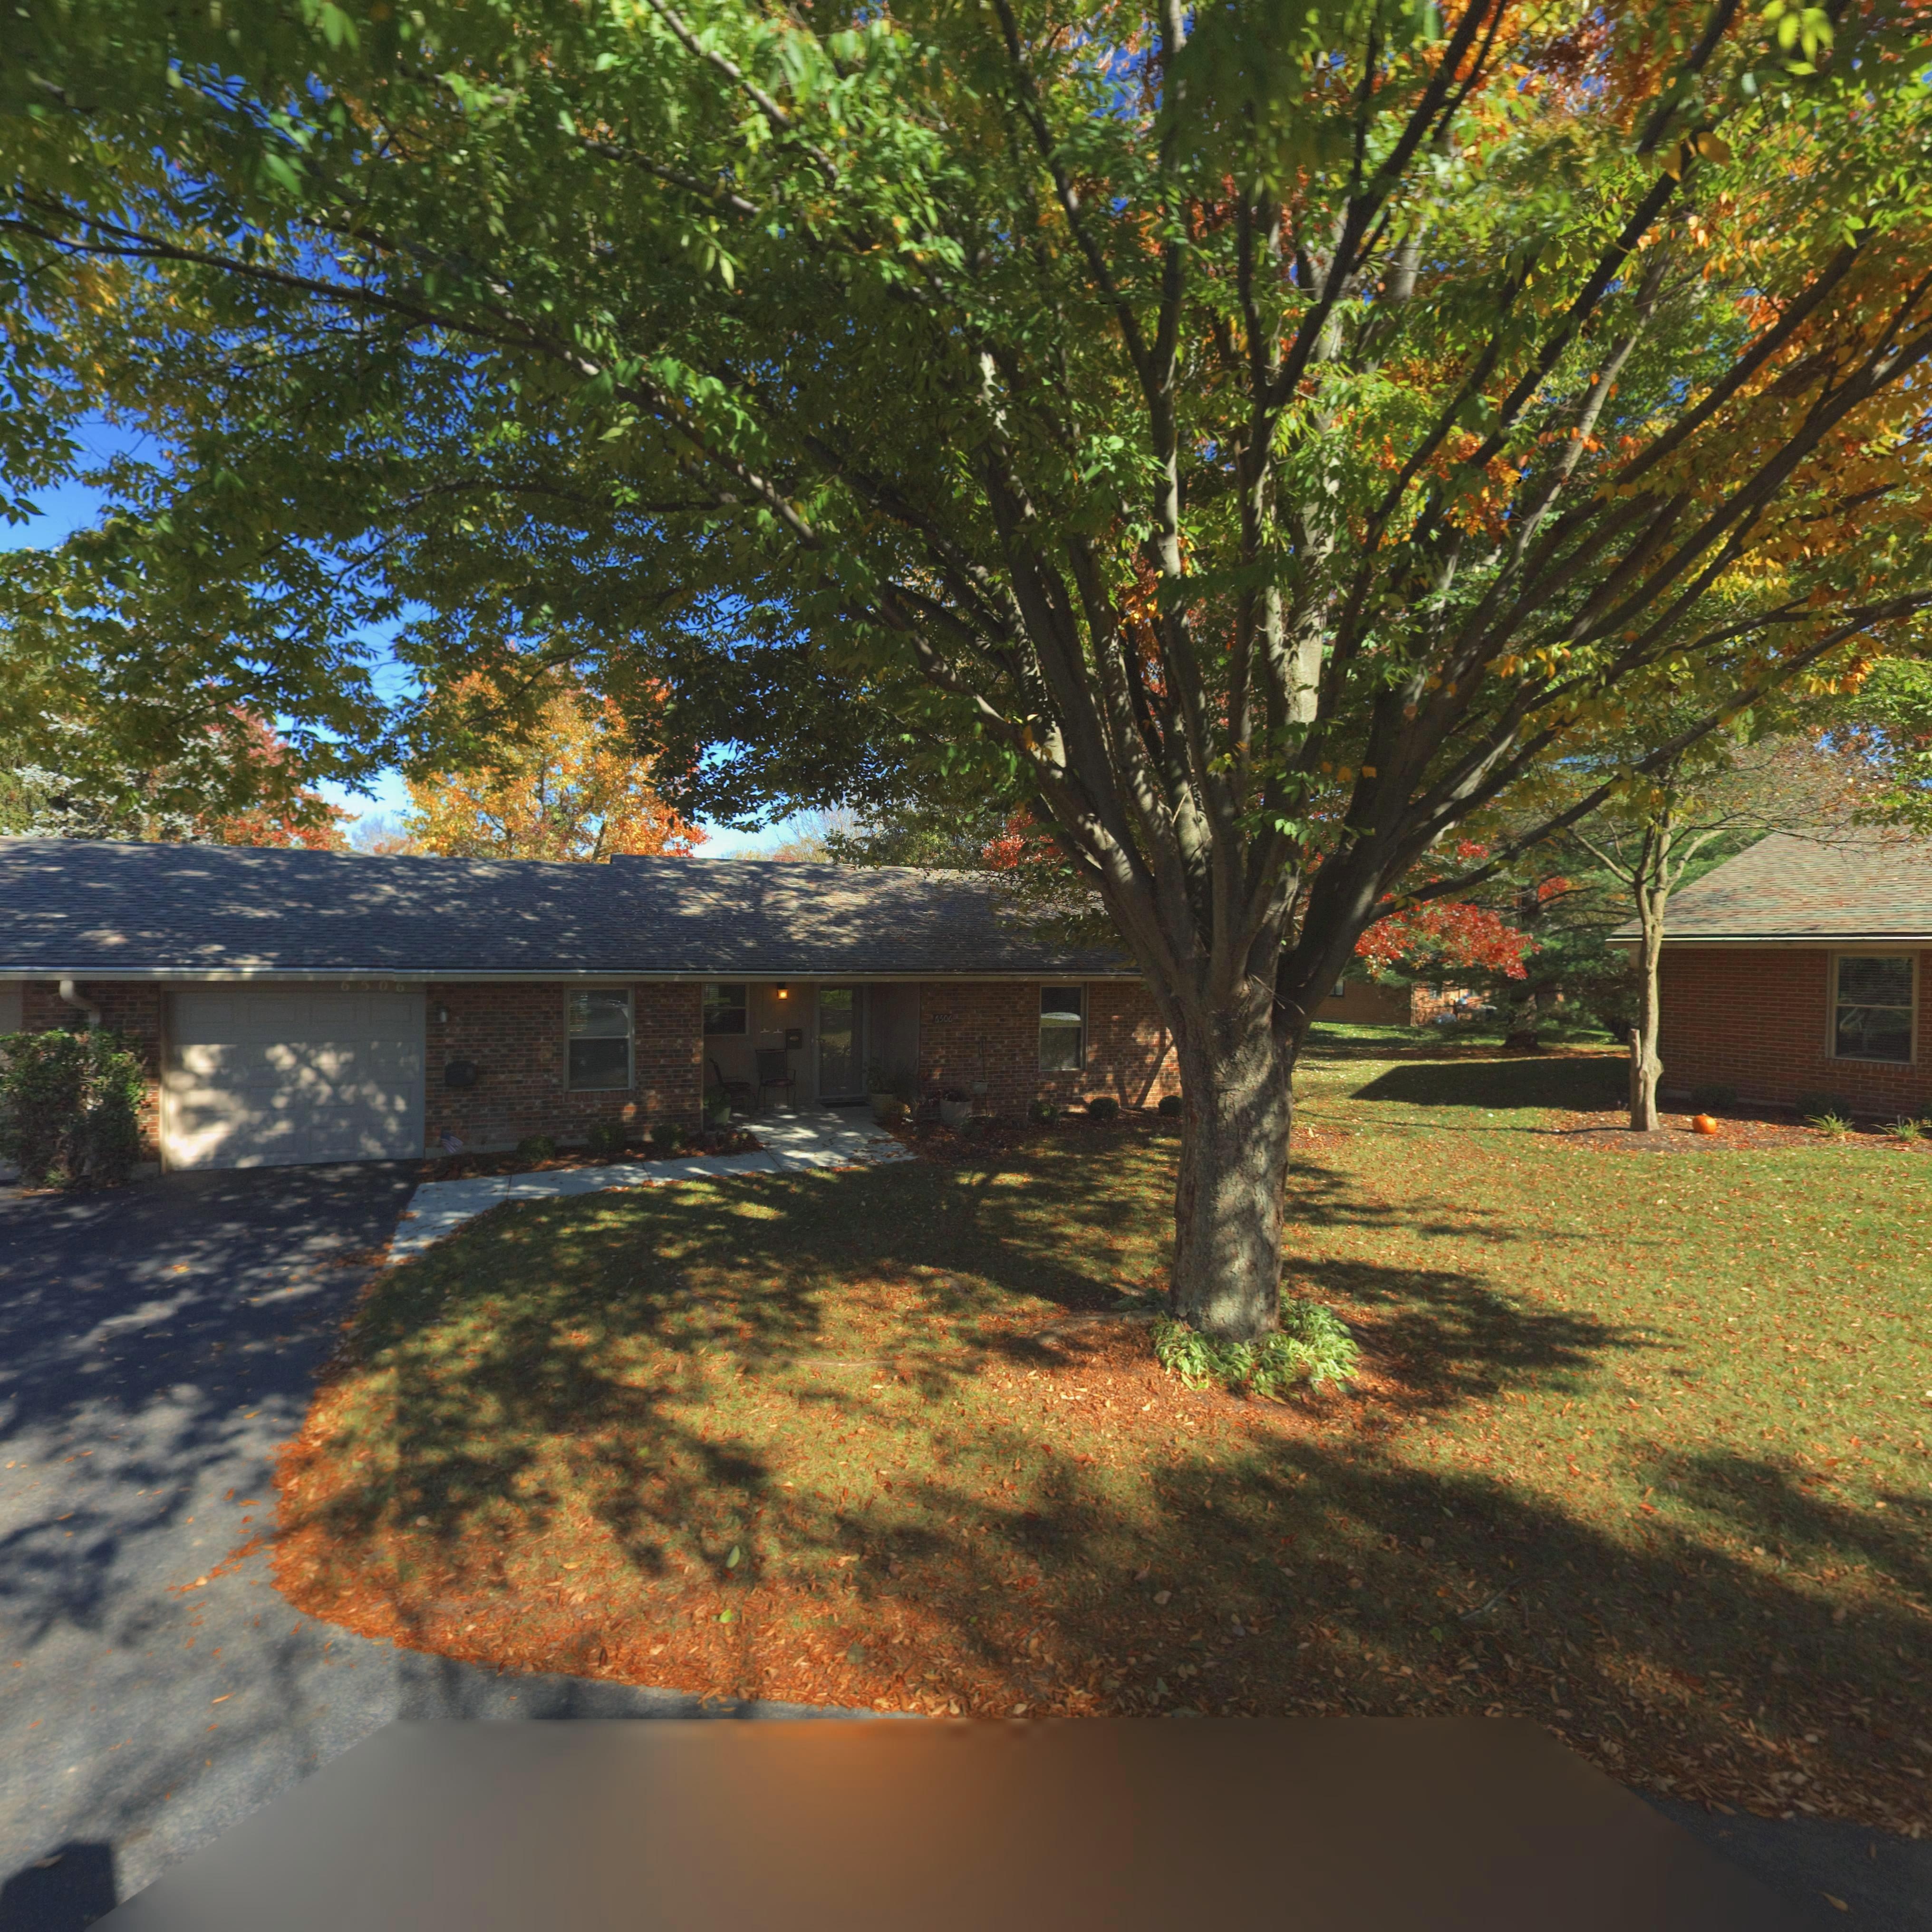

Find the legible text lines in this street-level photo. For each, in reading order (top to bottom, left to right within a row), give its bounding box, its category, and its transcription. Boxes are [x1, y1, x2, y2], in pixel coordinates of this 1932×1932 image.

[339, 979, 406, 994] StreetNumber: 6*06
[934, 1014, 954, 1024] StreetNumber: 6506